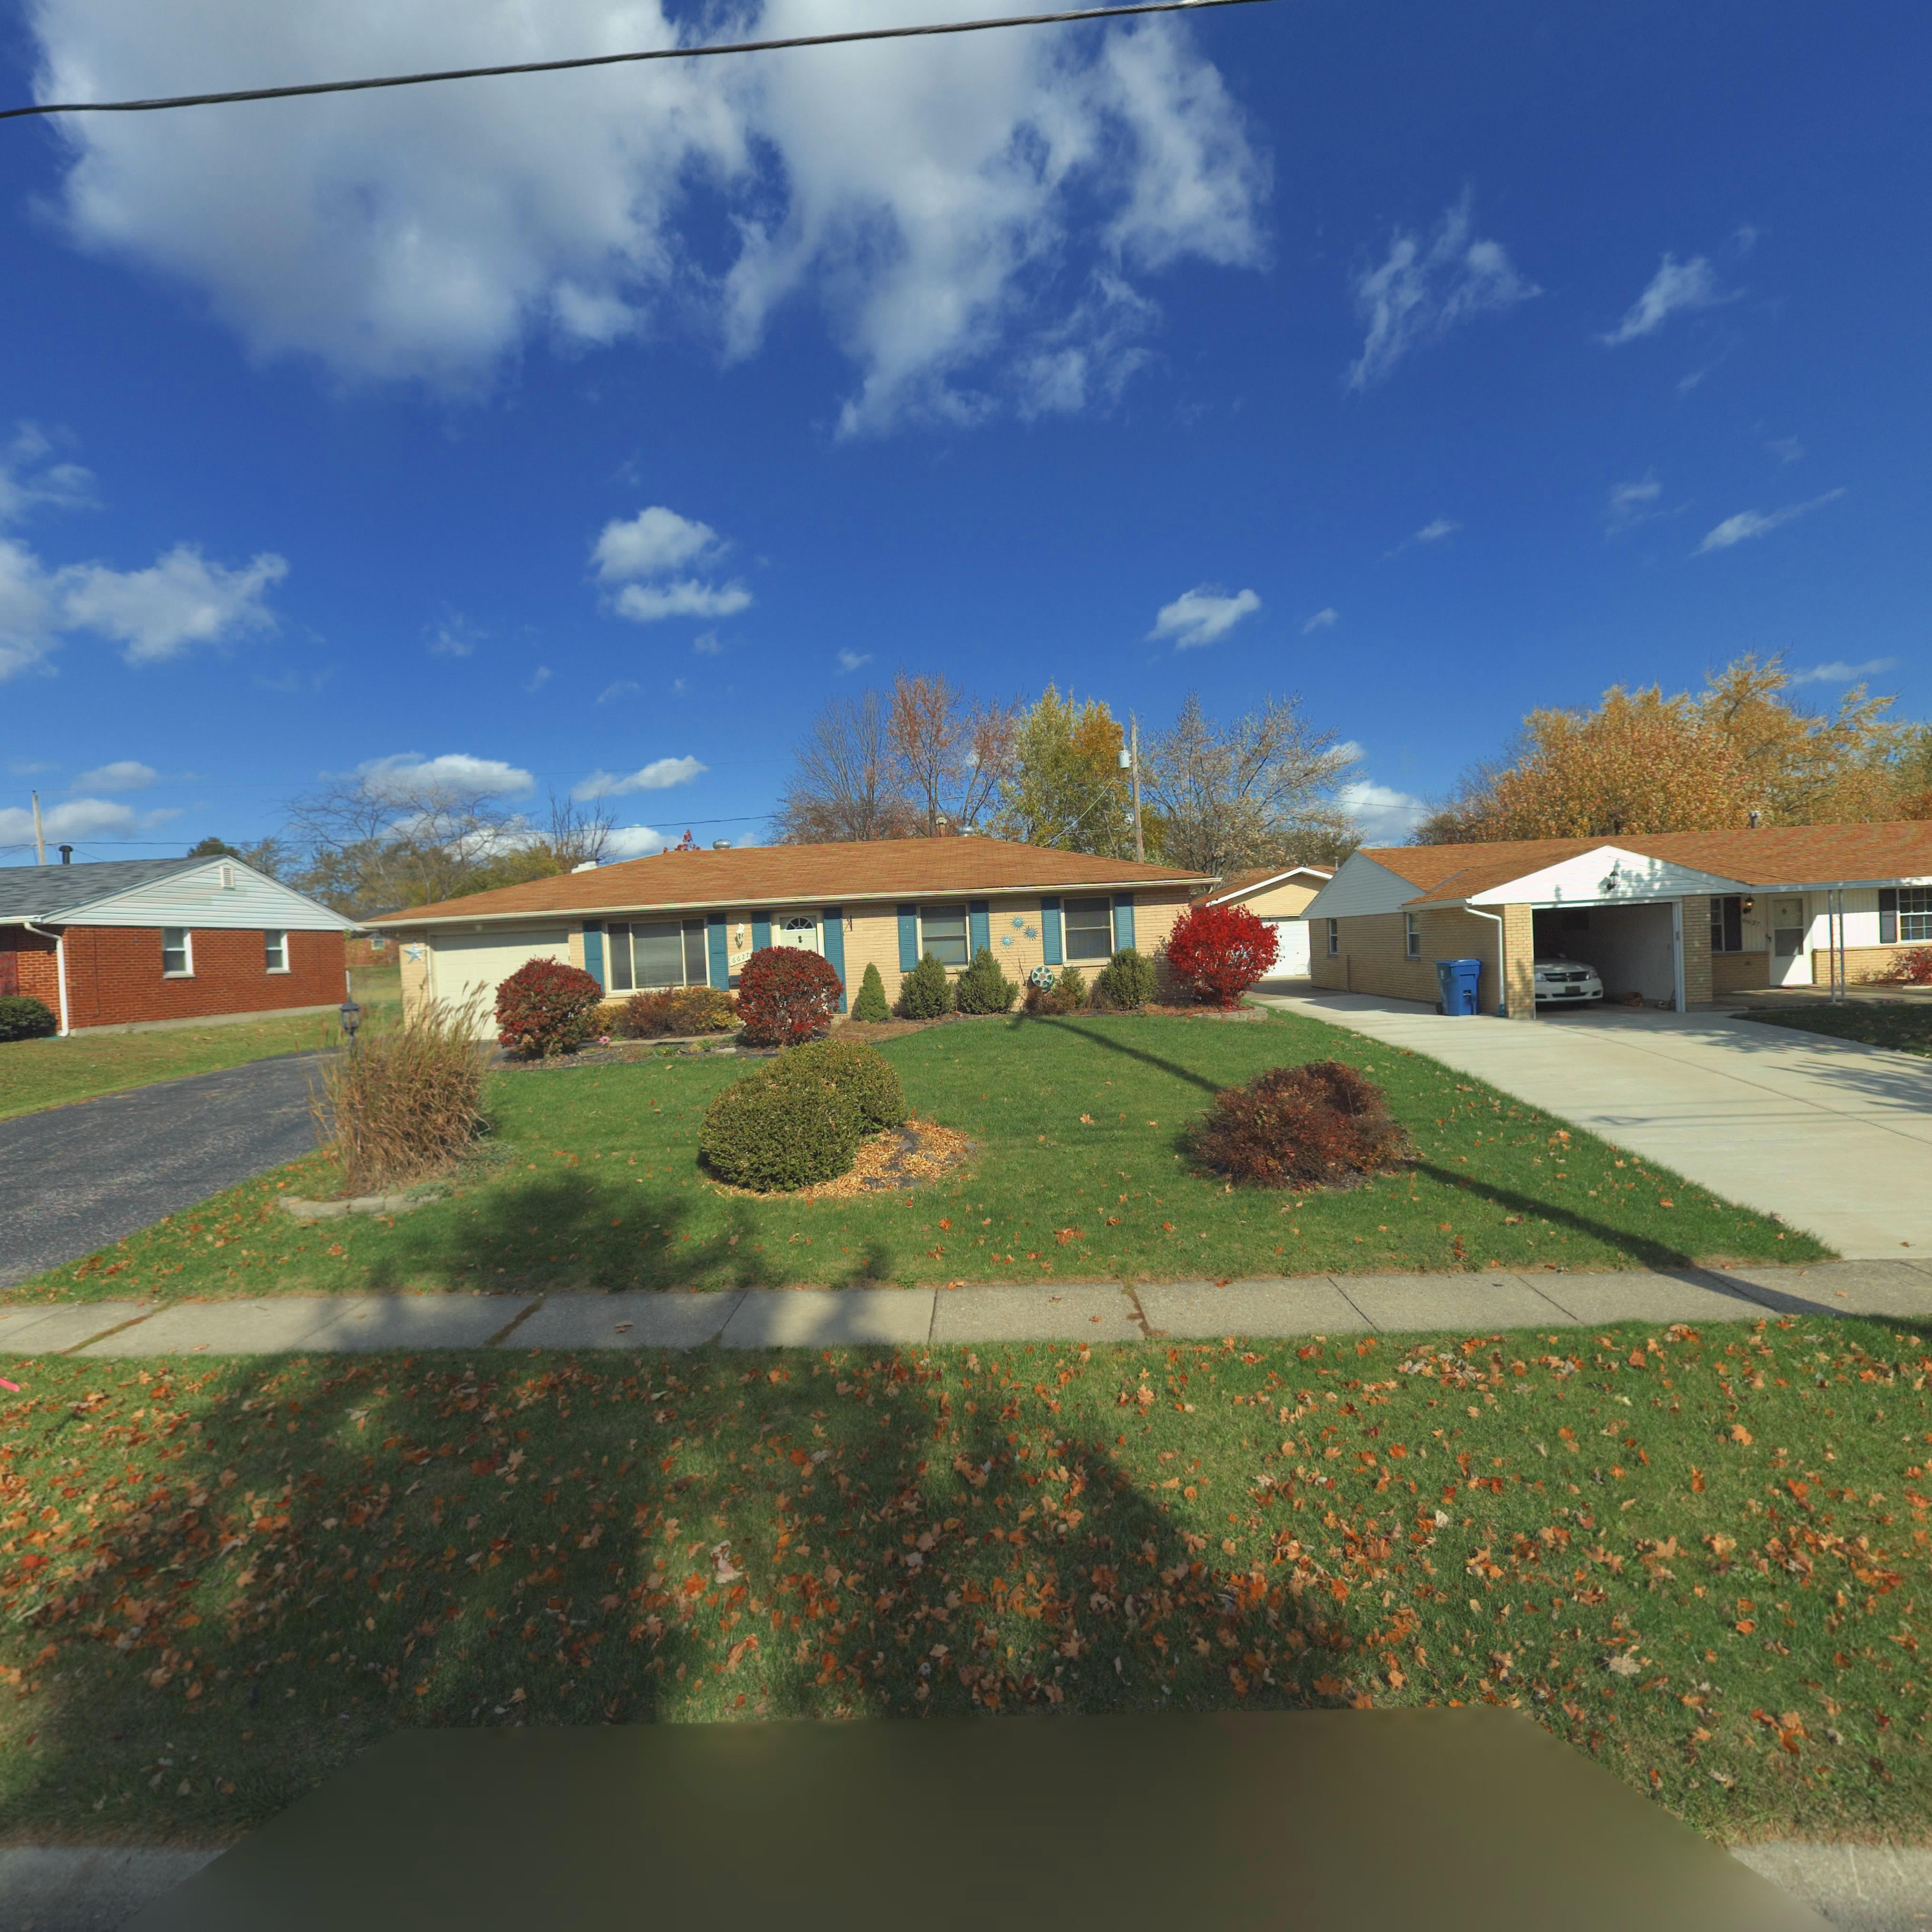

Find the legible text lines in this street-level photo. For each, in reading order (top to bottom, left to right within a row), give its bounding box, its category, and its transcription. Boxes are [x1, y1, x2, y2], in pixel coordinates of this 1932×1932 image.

[1741, 917, 1761, 928] StreetNumber: 6637
[732, 952, 749, 964] StreetNumber: 6627